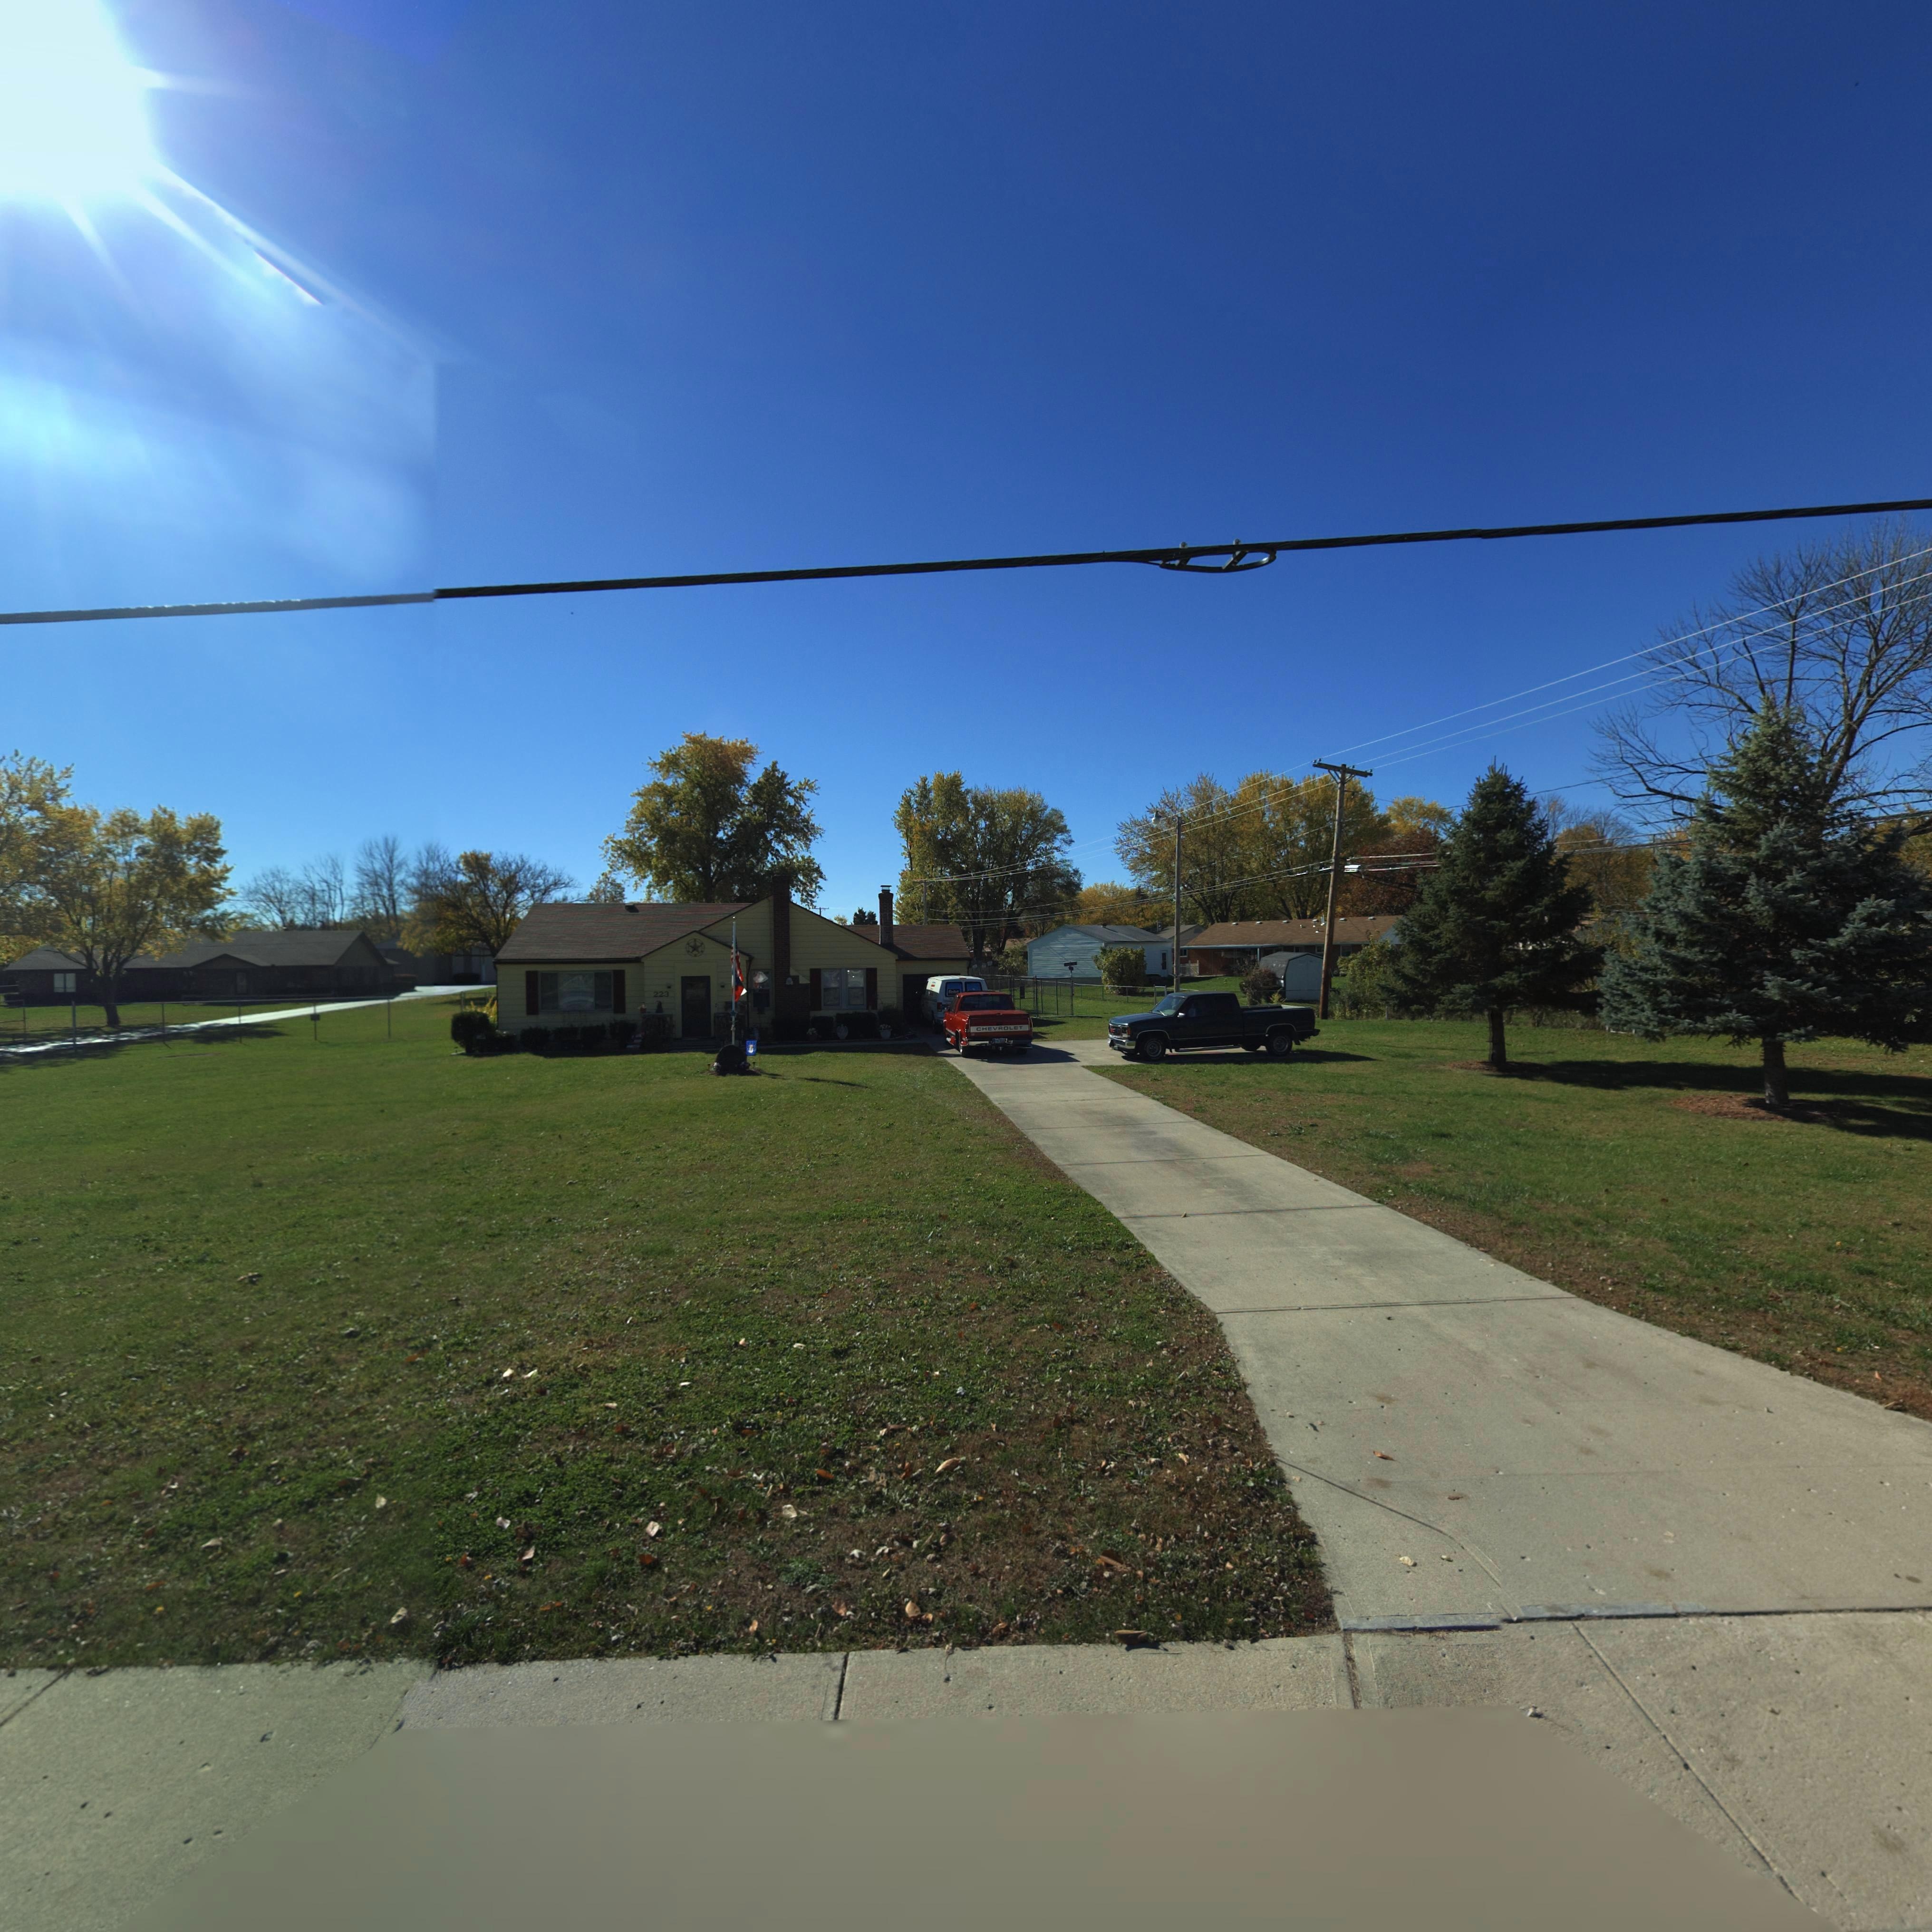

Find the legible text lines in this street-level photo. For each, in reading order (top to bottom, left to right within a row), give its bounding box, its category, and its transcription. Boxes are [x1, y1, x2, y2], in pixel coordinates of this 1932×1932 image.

[652, 991, 669, 998] StreetNumber: 223
[976, 1025, 1023, 1031] None: CHEVROLET